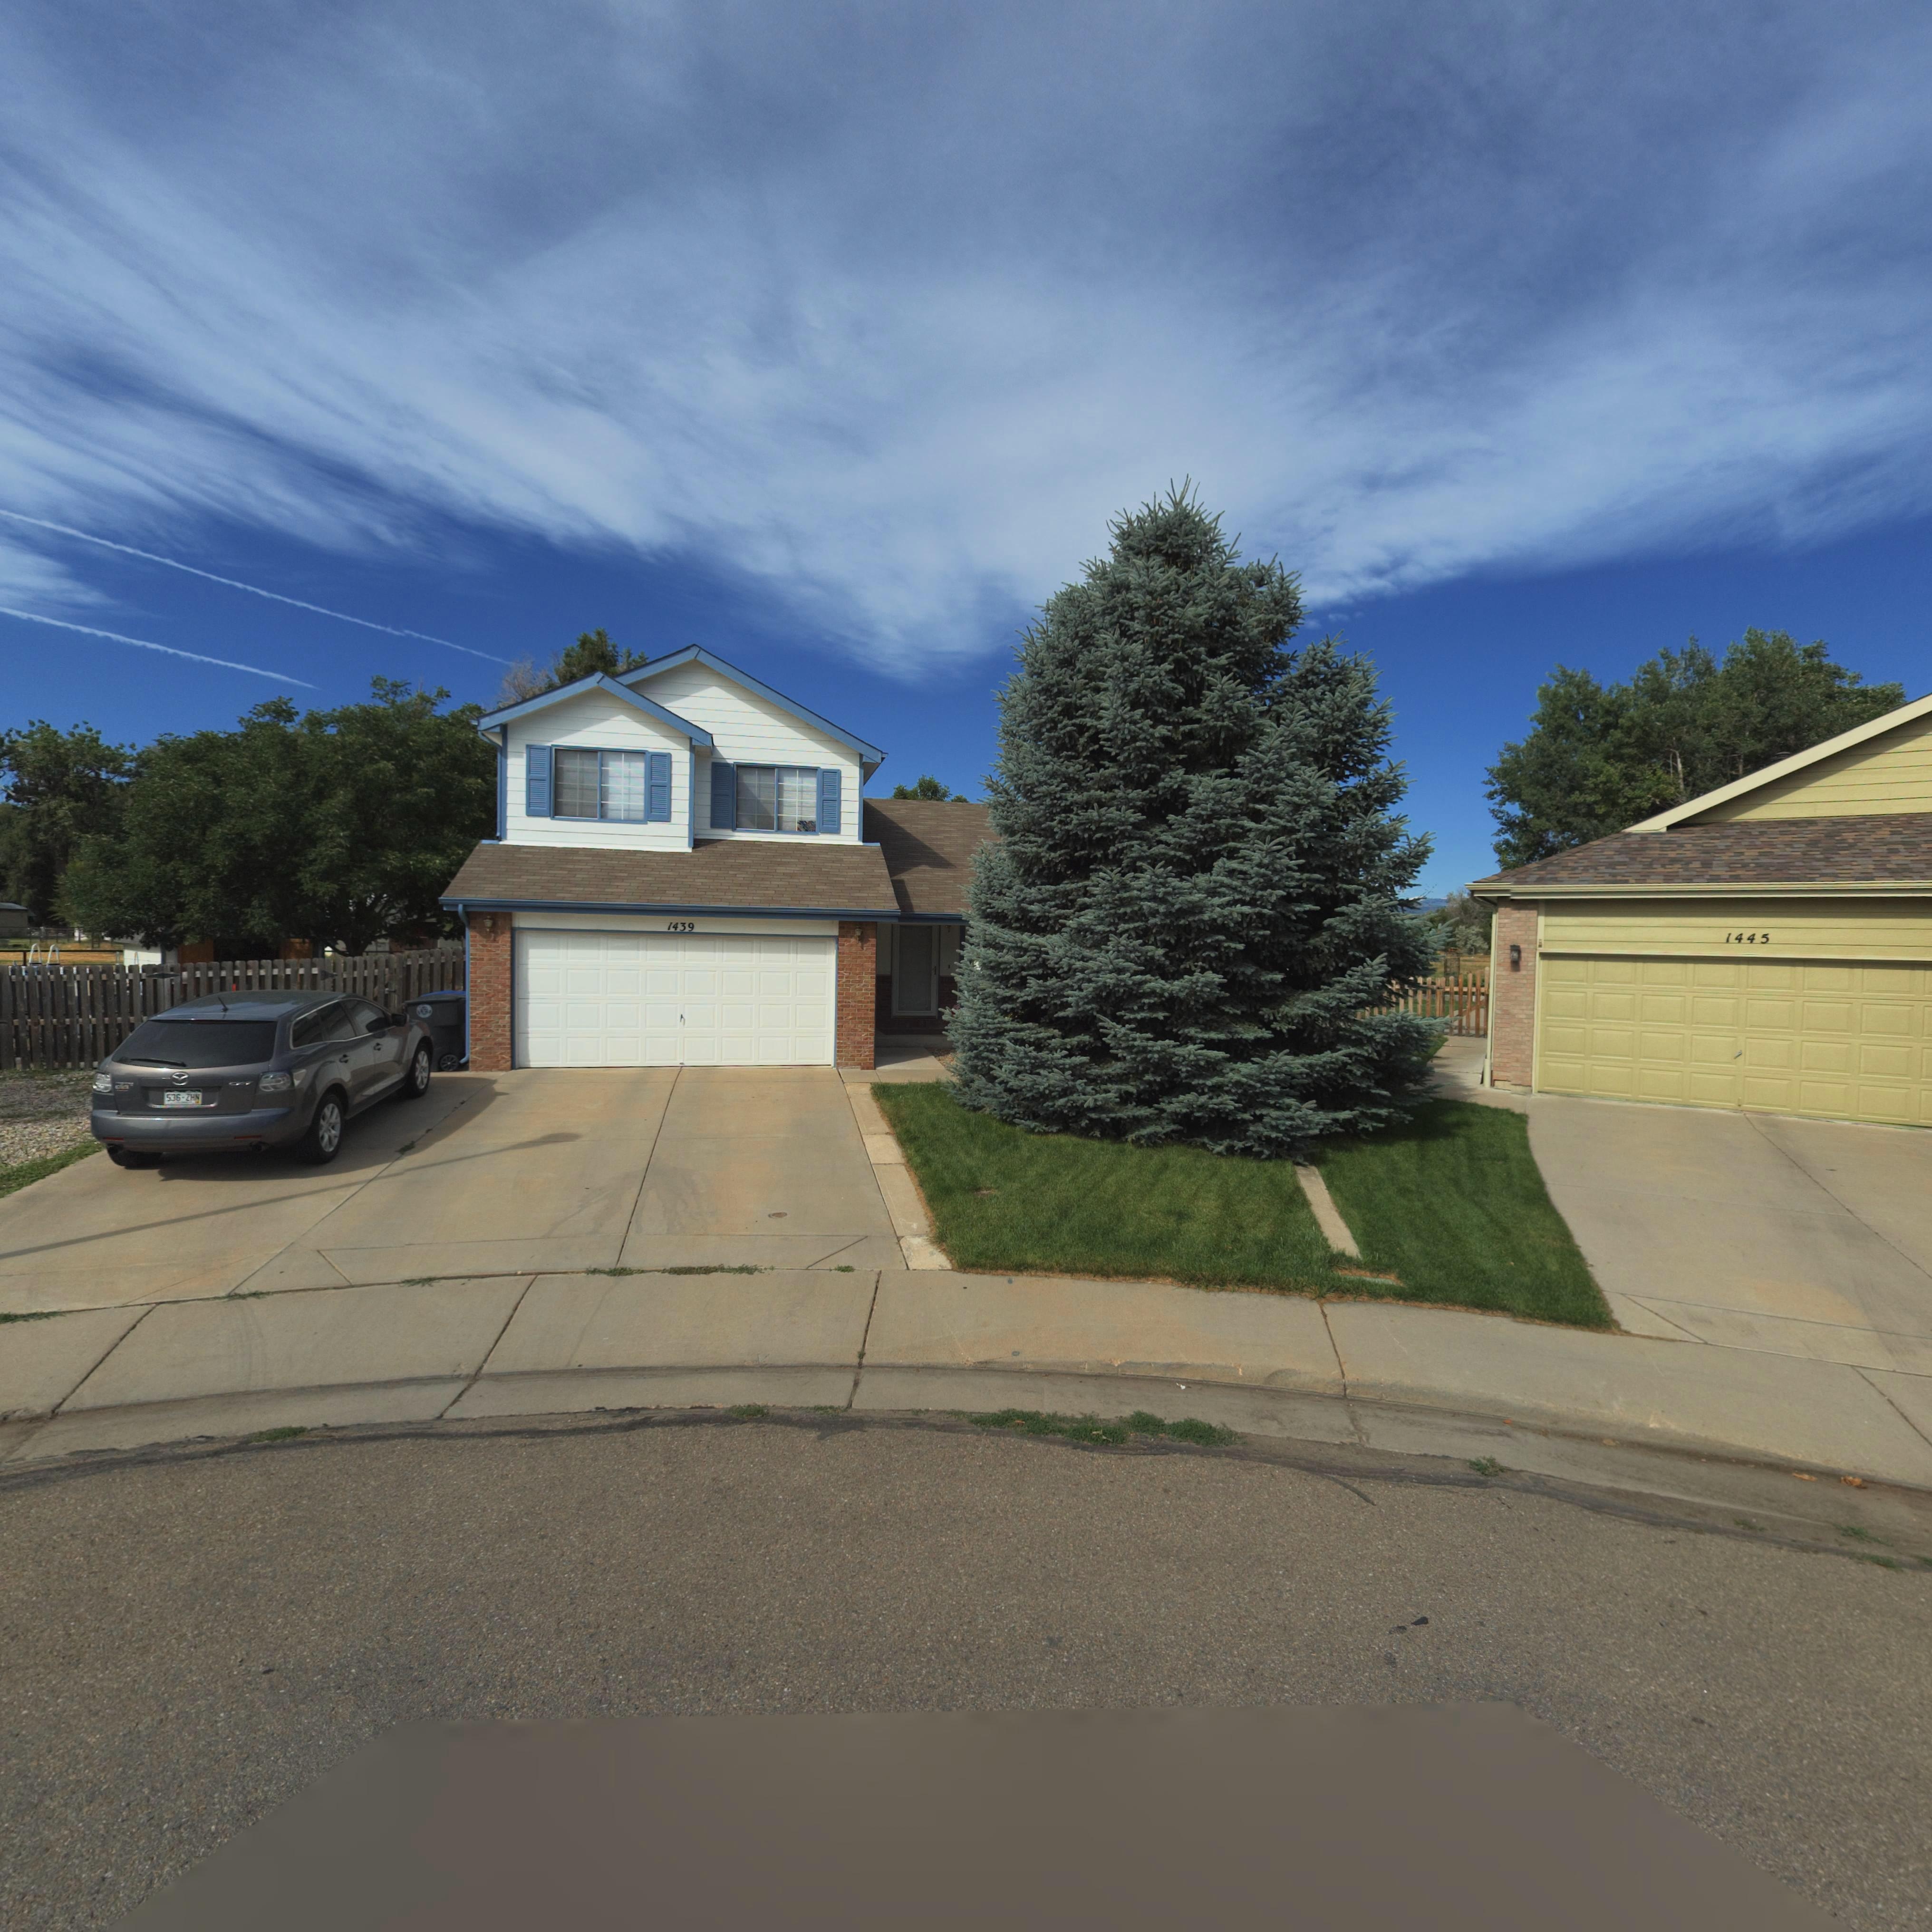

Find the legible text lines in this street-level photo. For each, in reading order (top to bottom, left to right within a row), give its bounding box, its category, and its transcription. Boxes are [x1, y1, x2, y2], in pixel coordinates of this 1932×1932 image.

[667, 921, 695, 932] StreetNumber: 1439
[1725, 932, 1769, 944] StreetNumber: 1445